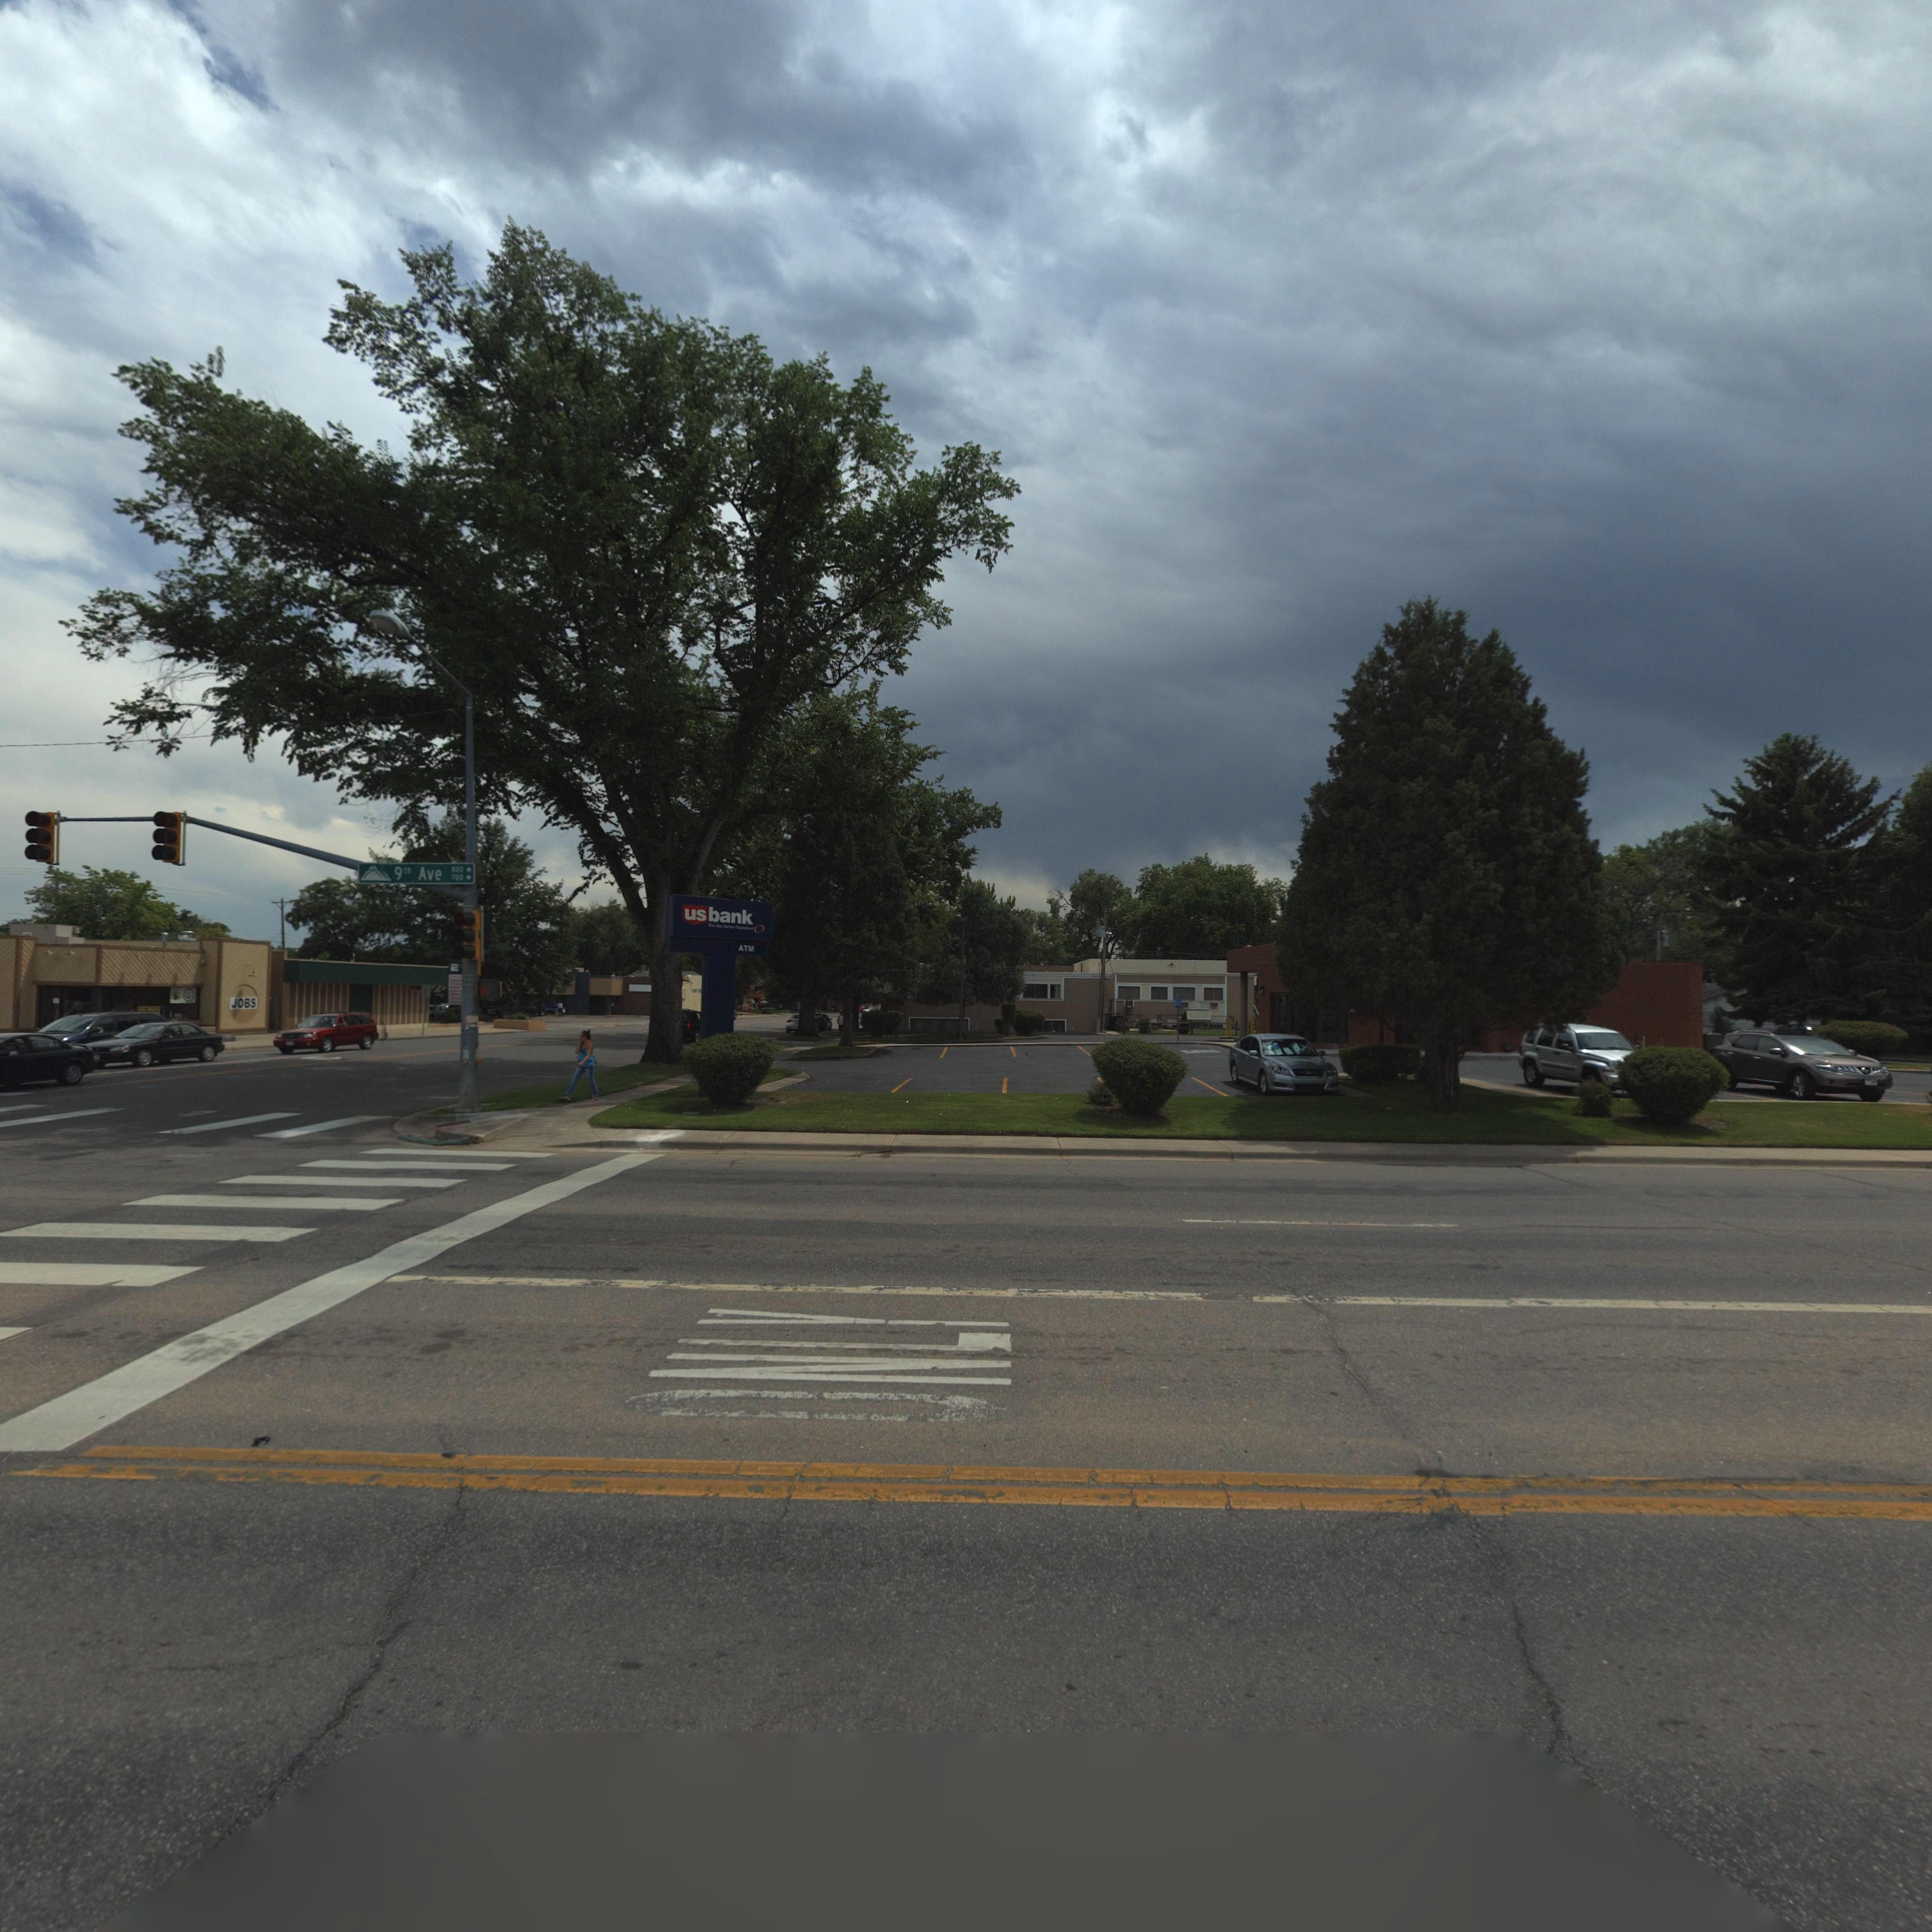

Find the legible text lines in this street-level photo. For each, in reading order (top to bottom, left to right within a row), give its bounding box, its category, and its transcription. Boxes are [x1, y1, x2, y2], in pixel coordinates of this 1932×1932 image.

[394, 866, 443, 881] StreetName: 9th Ave
[450, 866, 464, 872] StreetNumberRange: 800
[451, 874, 472, 880] StreetNumberRange: 700->
[684, 906, 754, 925] BusinessName: usbank